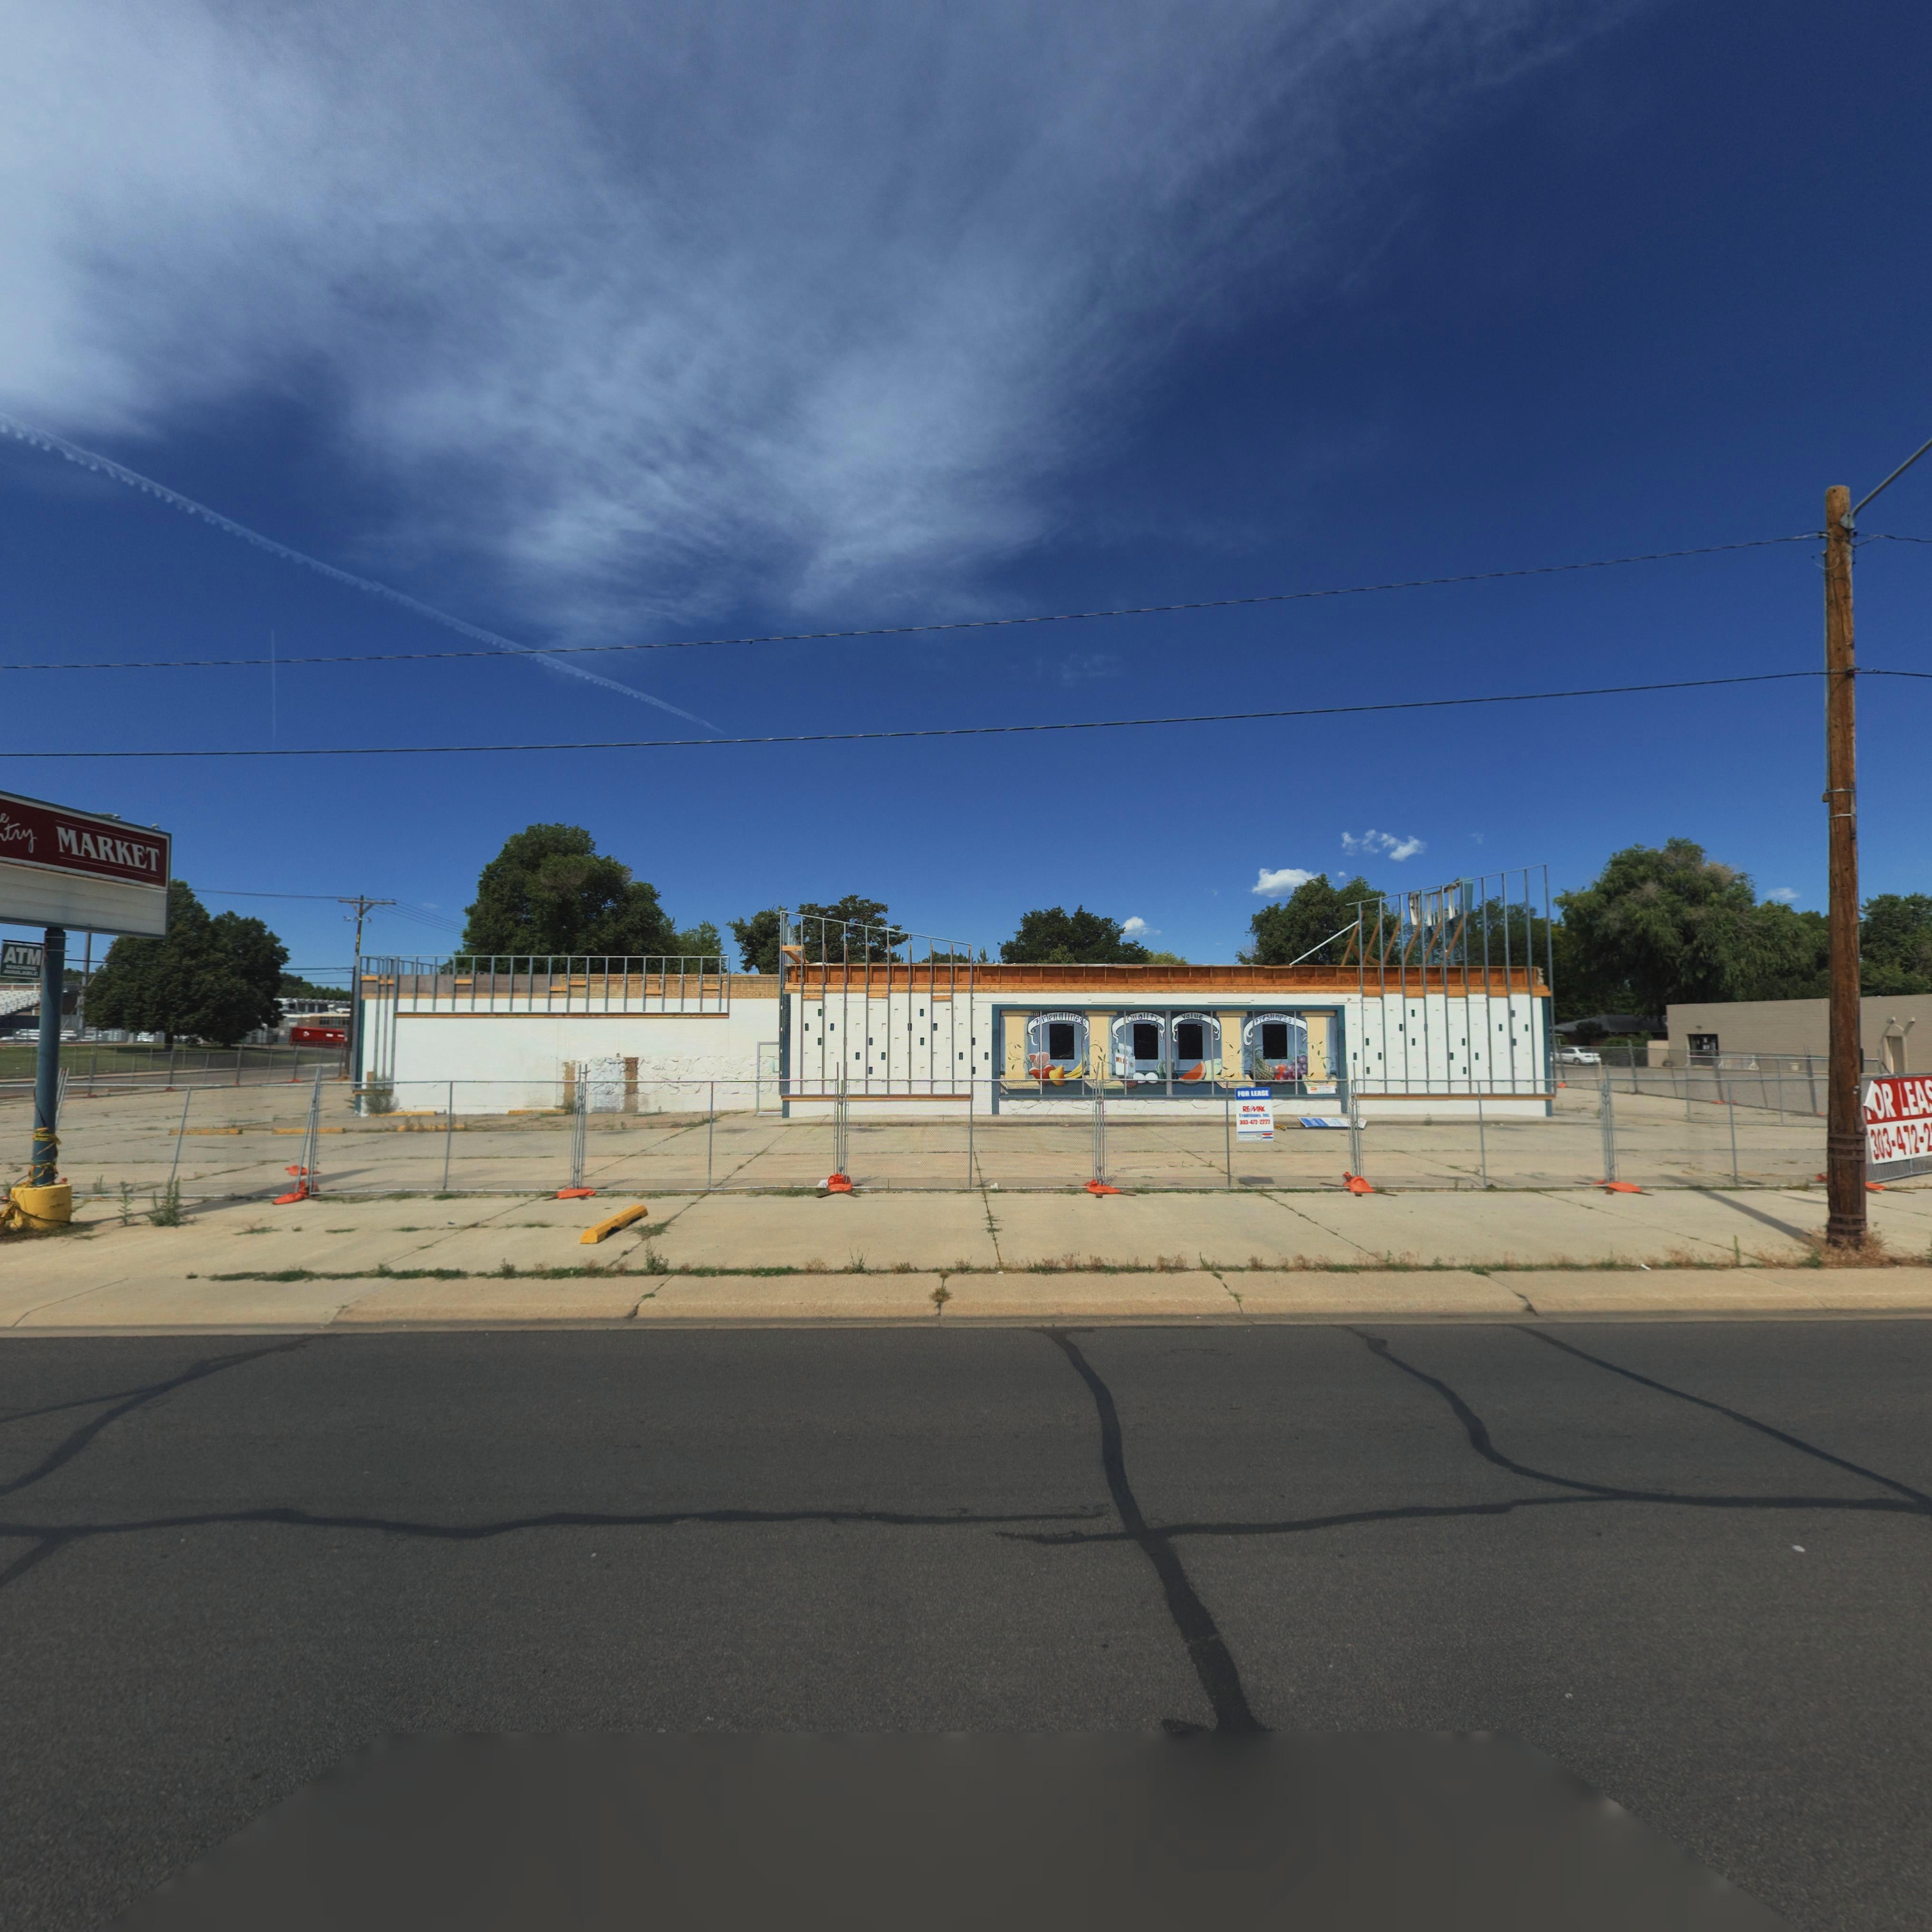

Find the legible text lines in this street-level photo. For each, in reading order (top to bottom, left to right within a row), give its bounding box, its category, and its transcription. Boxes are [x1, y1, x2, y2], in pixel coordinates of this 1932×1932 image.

[3, 821, 37, 854] BusinessName: try
[54, 824, 162, 872] BusinessName: MARKET